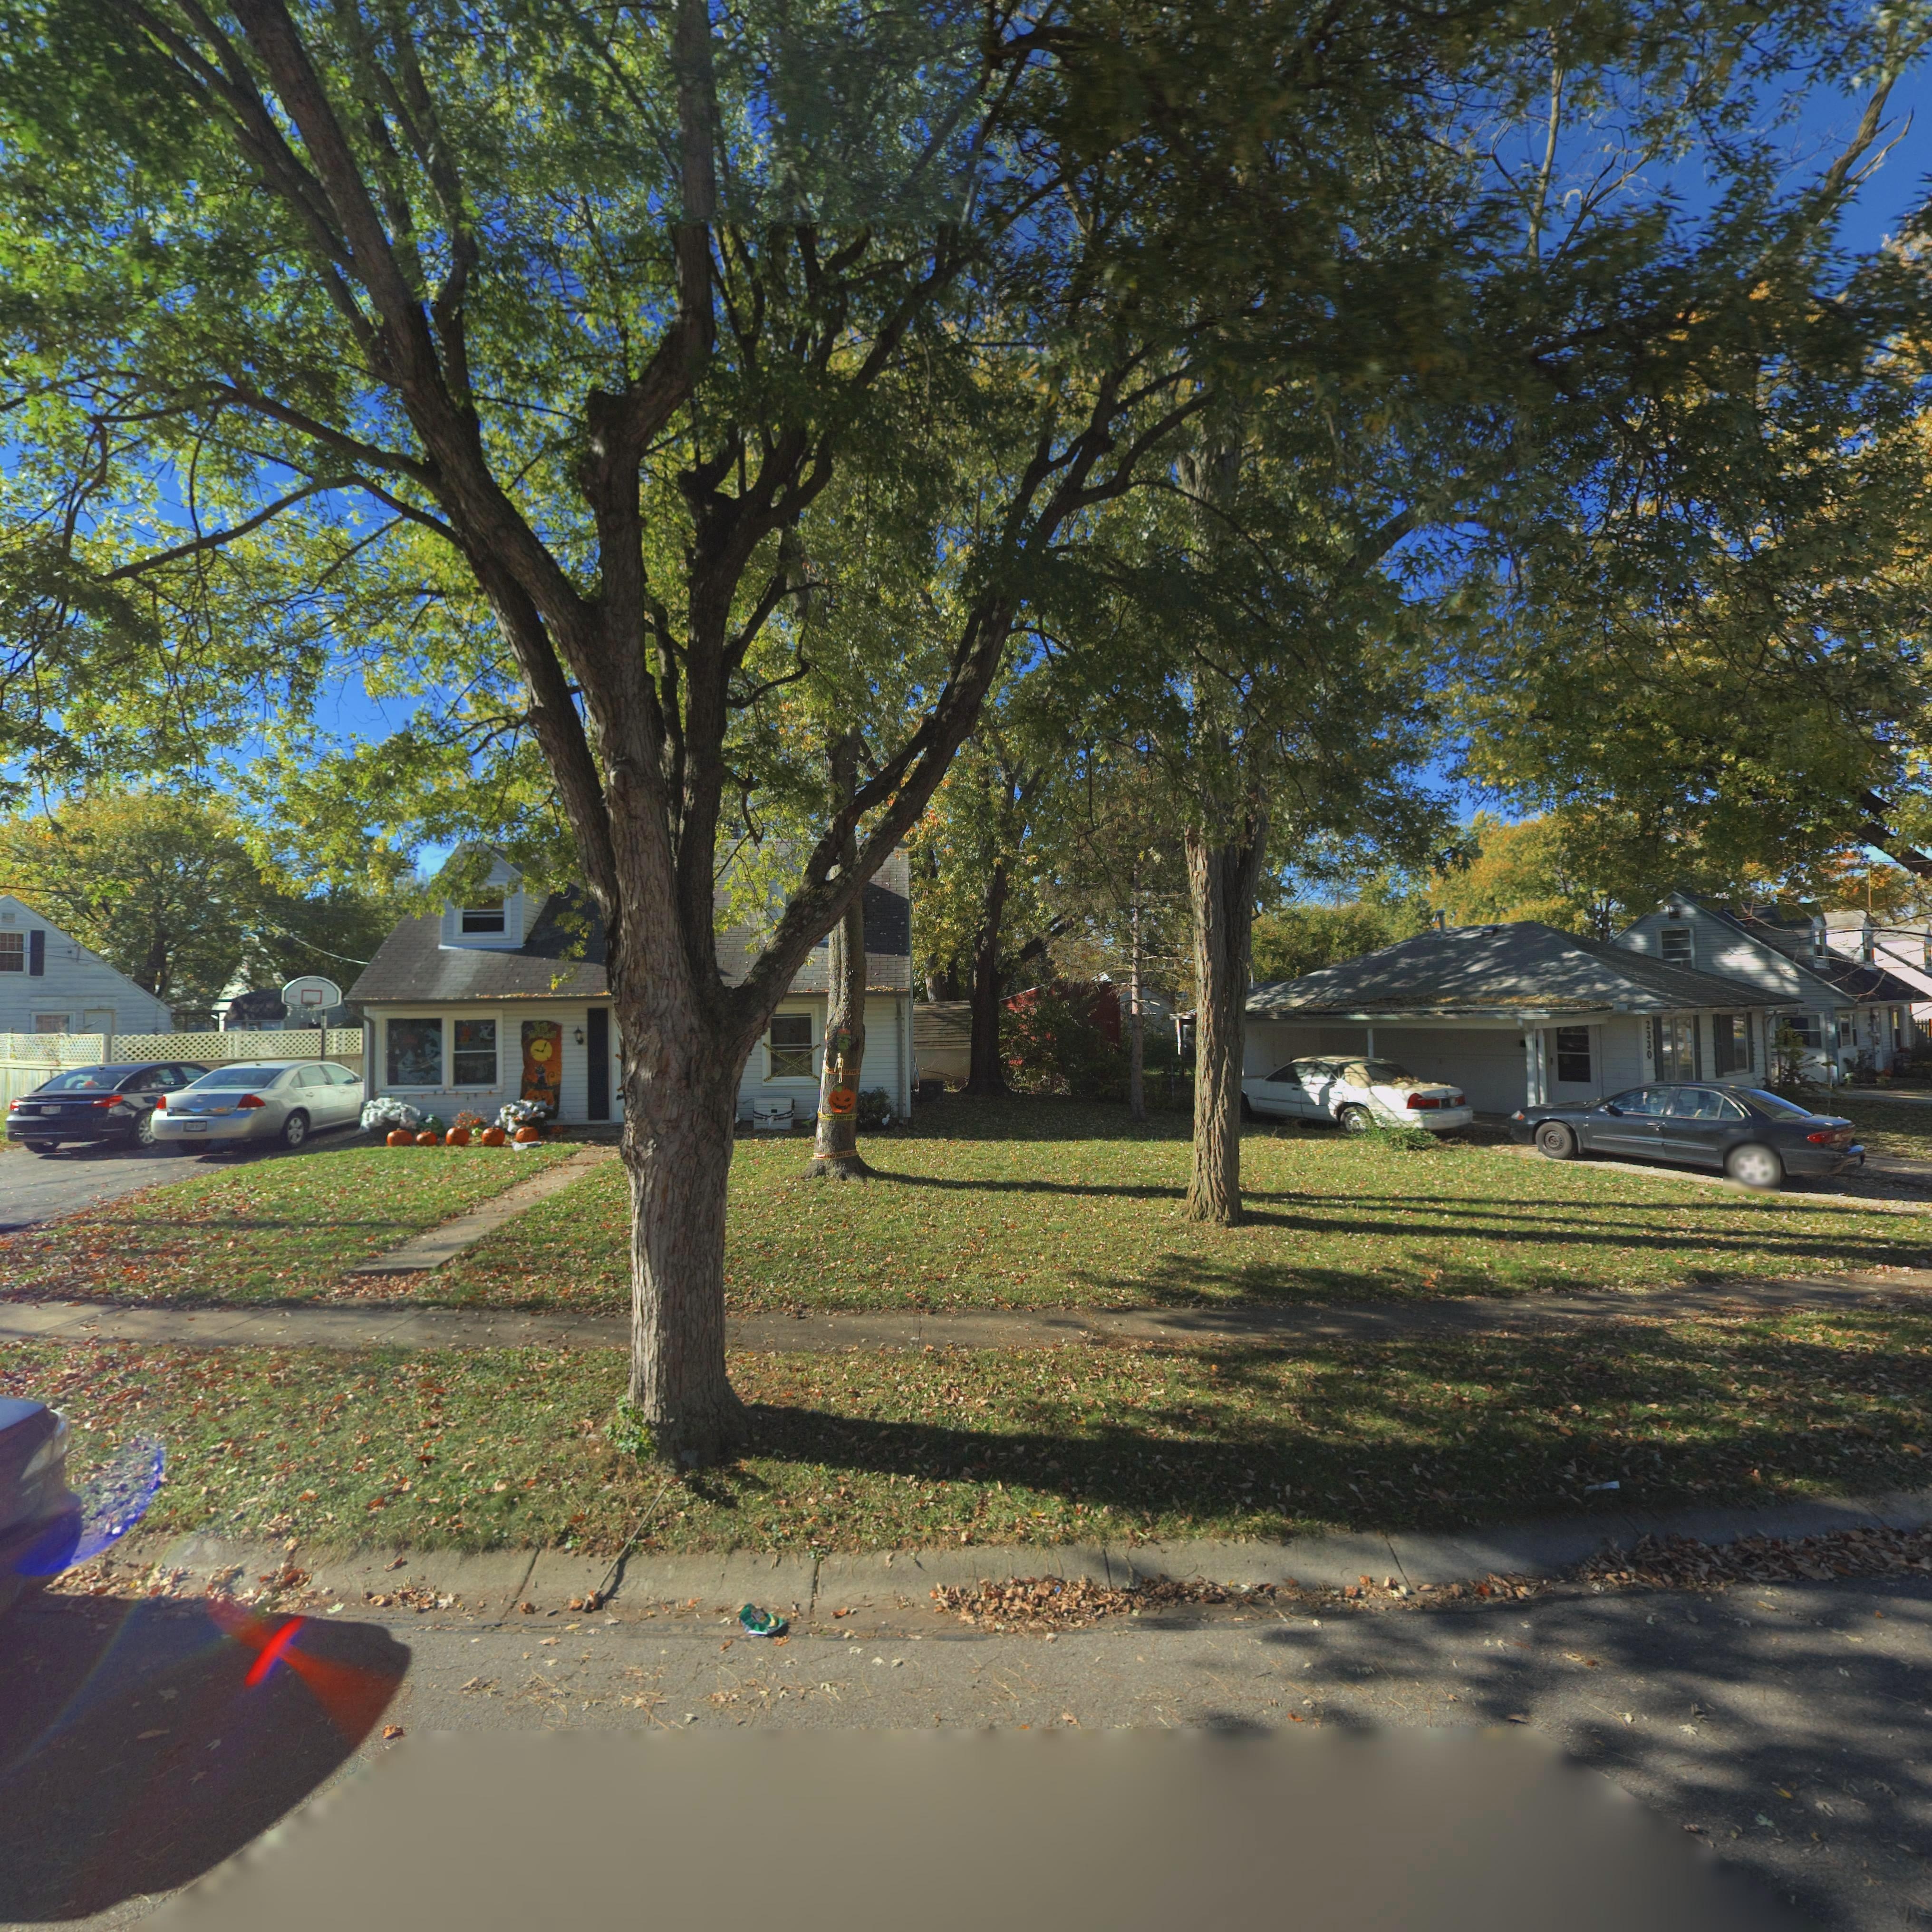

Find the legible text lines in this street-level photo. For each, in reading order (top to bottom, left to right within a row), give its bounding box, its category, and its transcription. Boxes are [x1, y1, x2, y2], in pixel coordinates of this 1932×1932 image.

[1644, 1019, 1653, 1061] StreetNumber: 2330